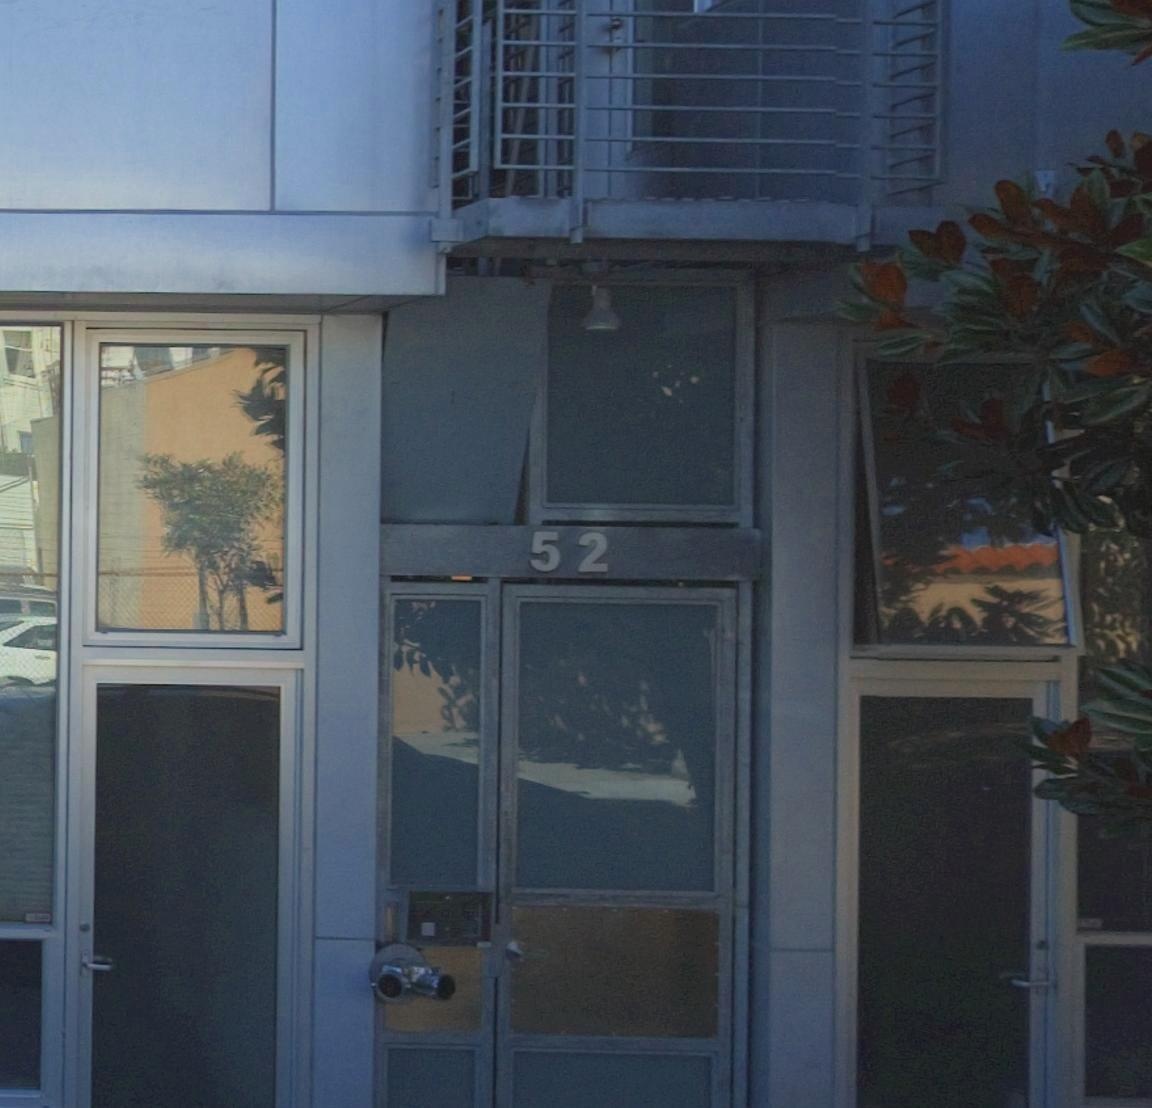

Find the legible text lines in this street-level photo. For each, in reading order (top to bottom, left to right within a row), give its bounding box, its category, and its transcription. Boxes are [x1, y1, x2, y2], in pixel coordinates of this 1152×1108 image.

[524, 527, 614, 577] StreetNumber: 52